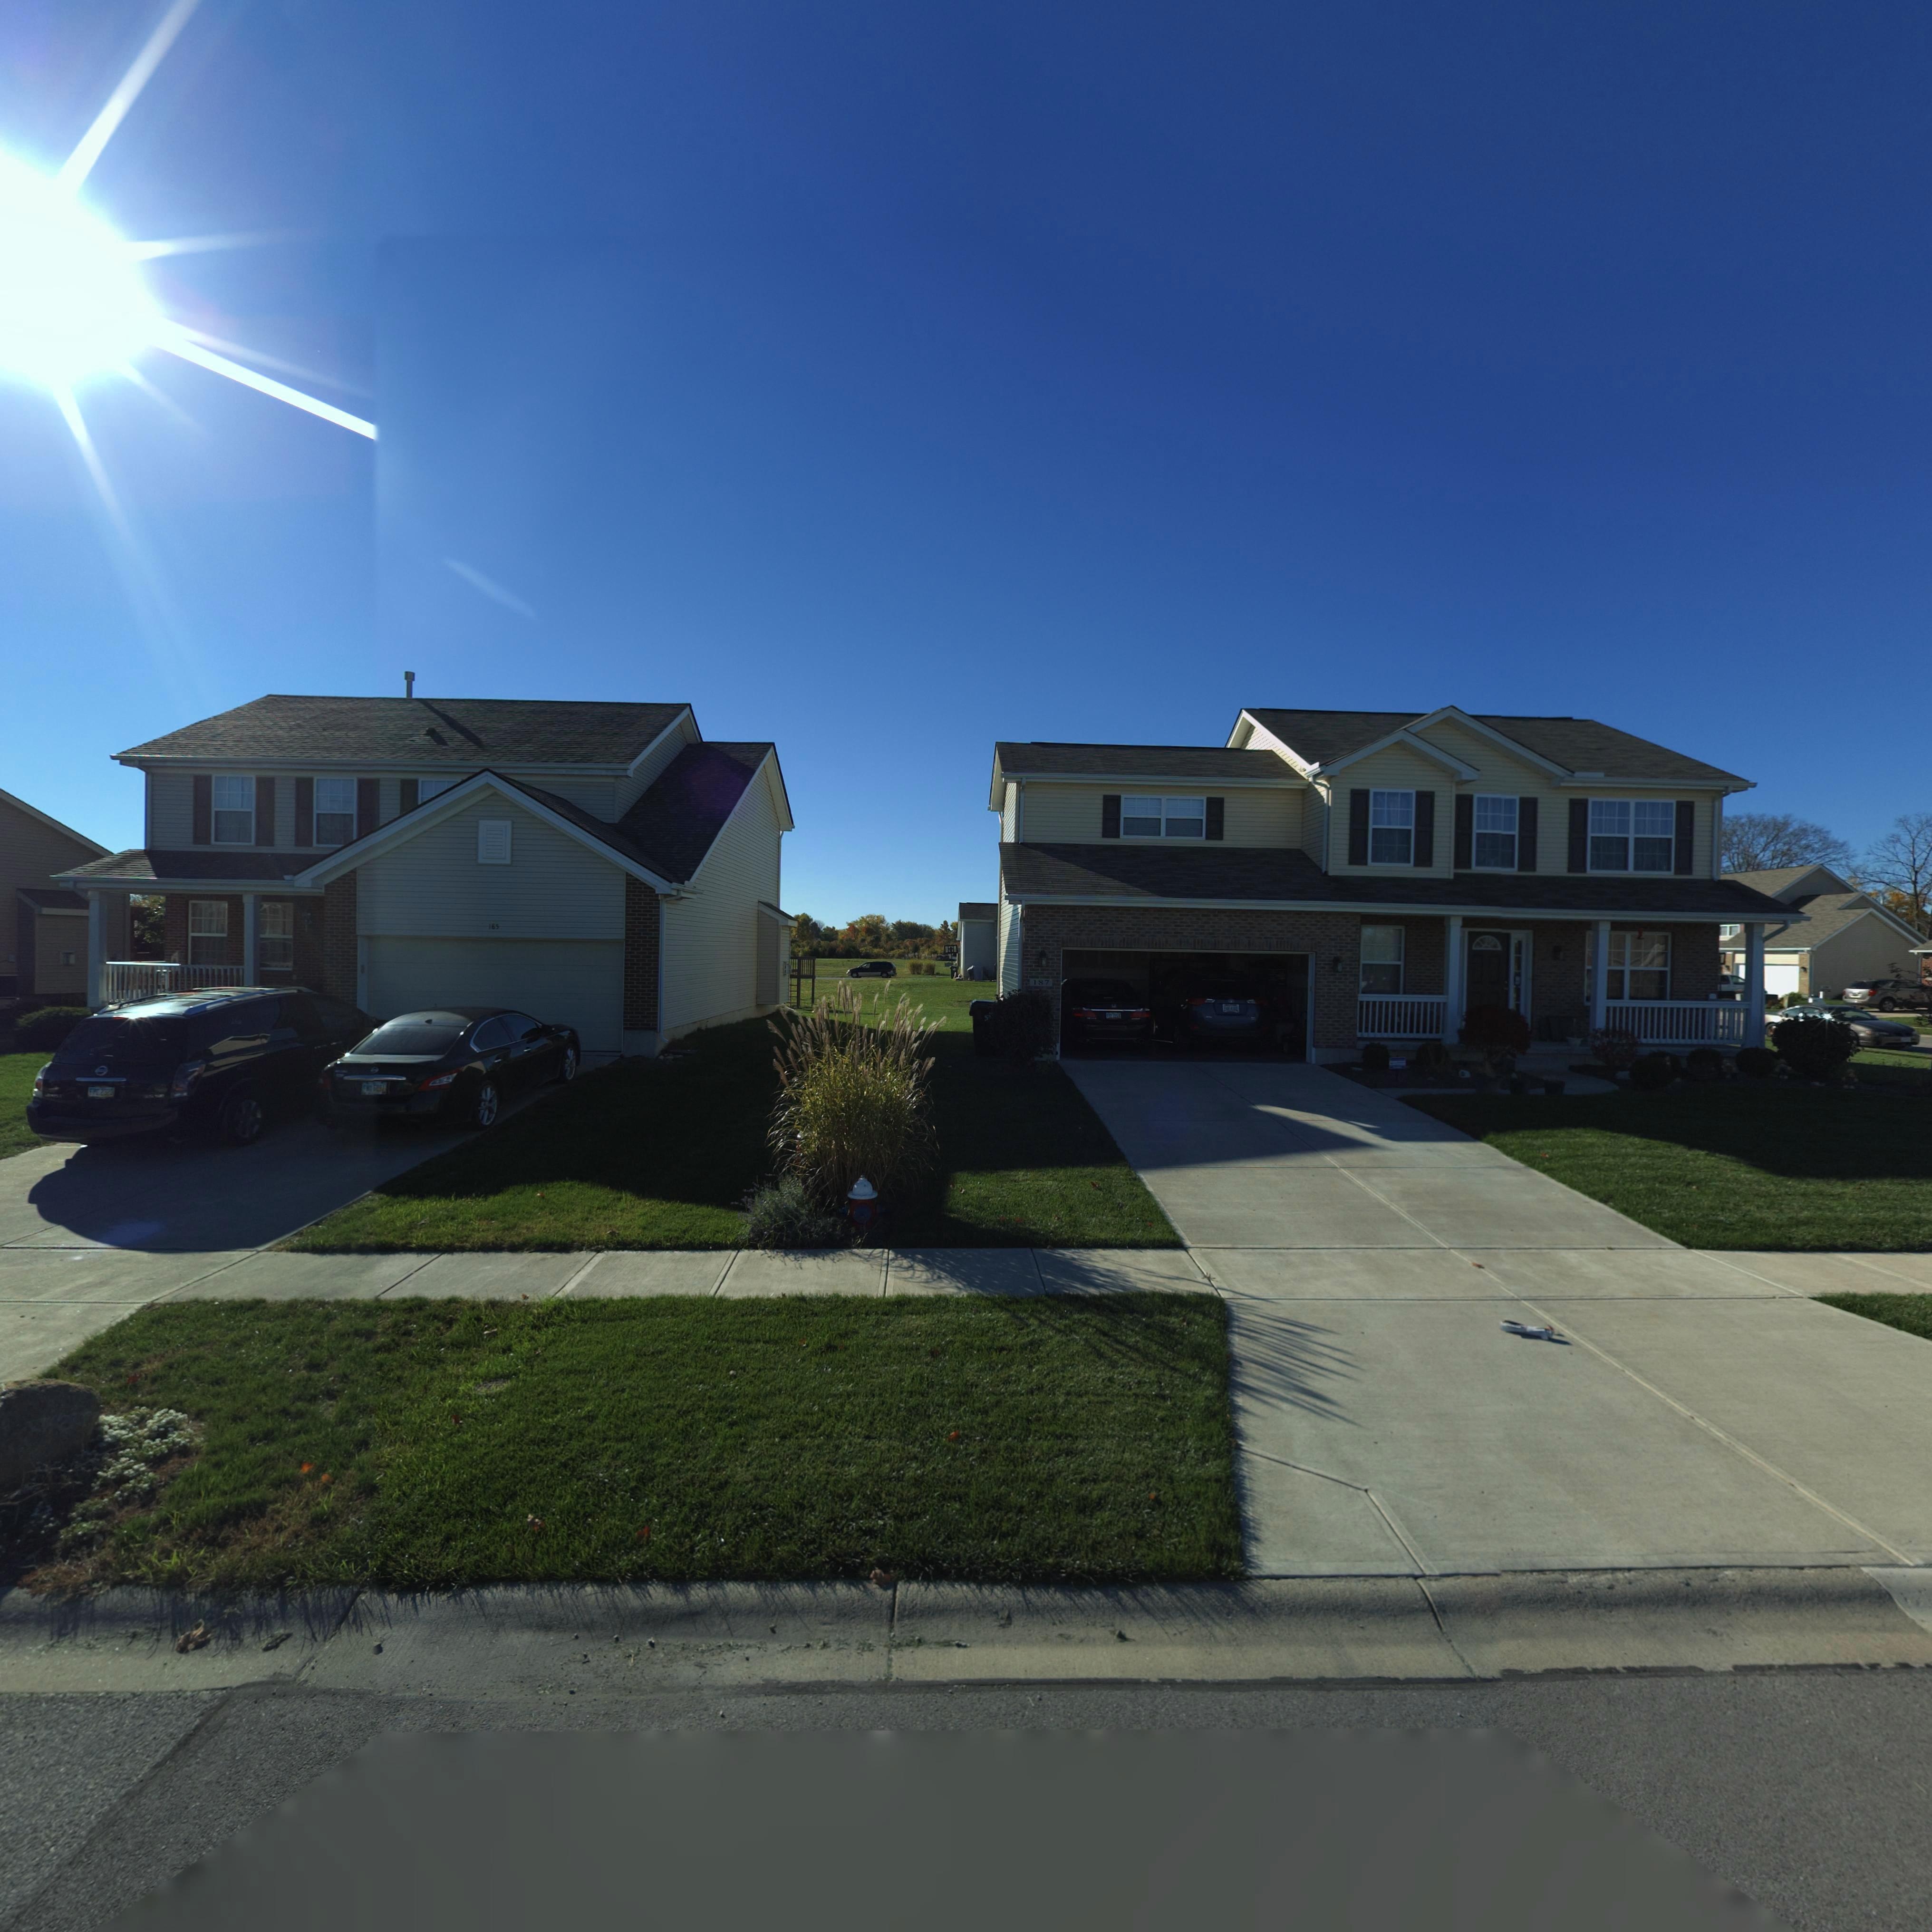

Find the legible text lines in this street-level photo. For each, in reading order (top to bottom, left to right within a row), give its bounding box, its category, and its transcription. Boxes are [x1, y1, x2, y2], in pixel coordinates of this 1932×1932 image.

[487, 922, 499, 929] StreetNumber: 185
[1033, 978, 1050, 986] StreetNumber: 187